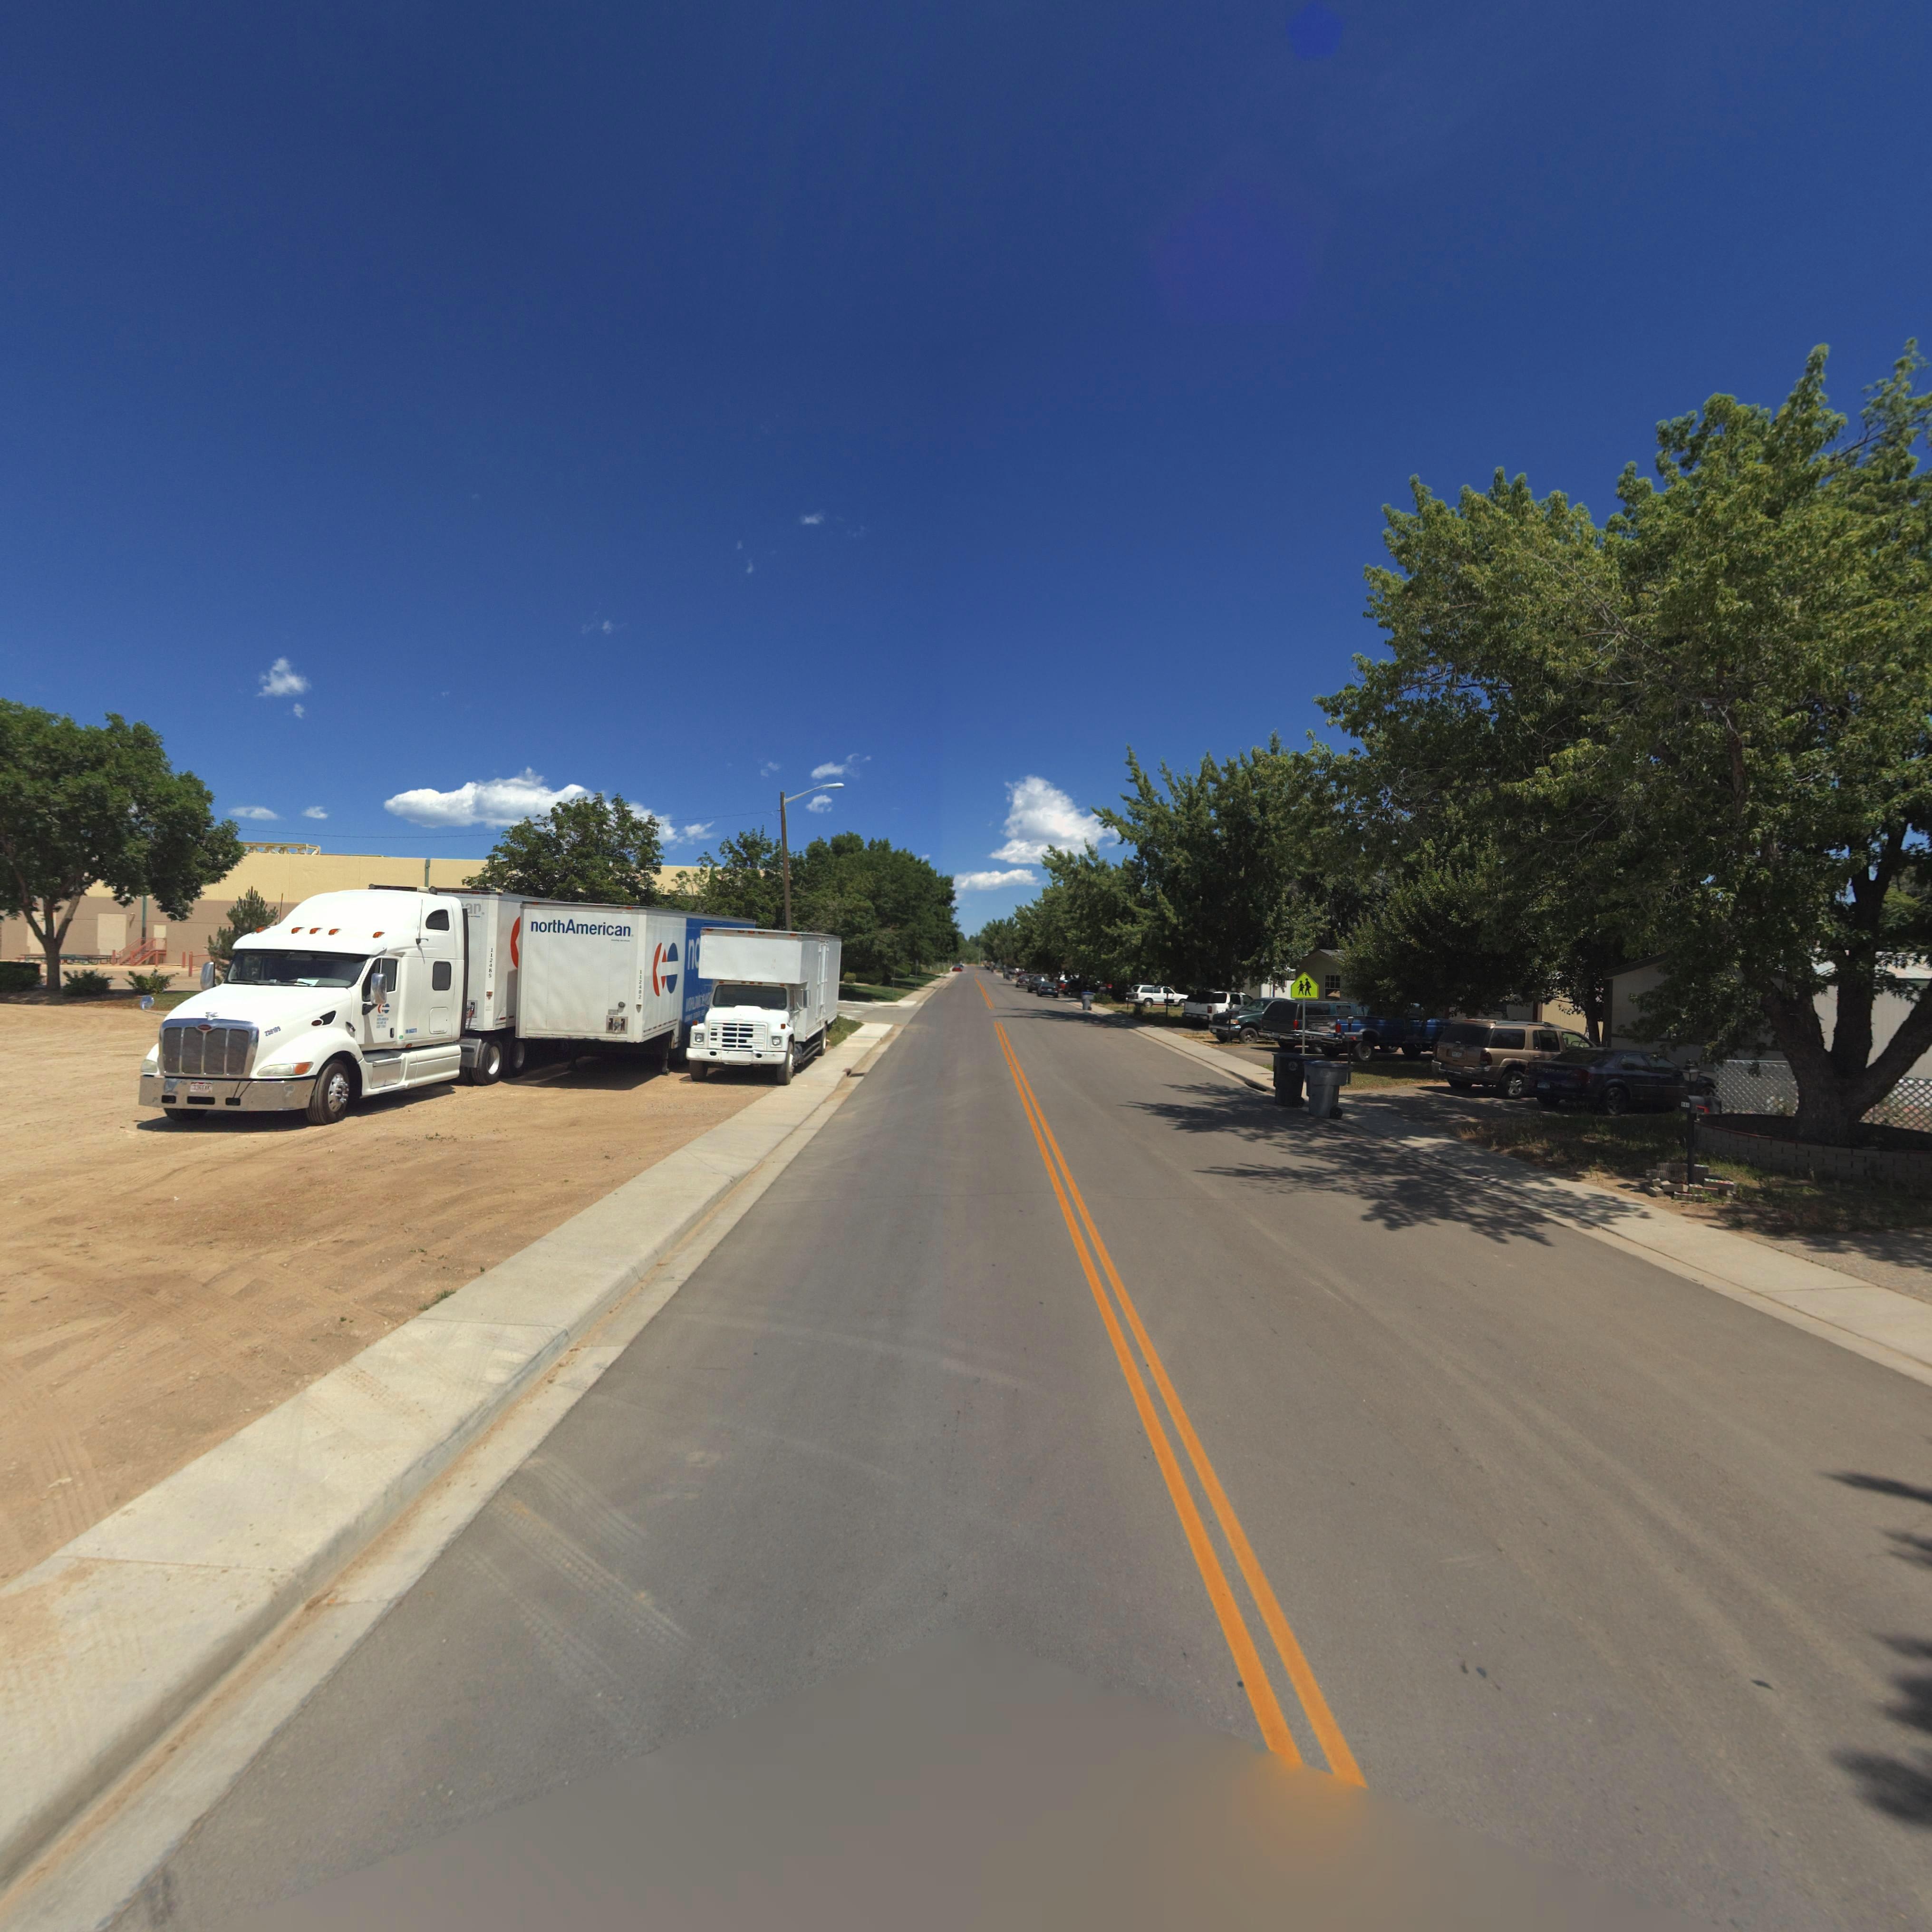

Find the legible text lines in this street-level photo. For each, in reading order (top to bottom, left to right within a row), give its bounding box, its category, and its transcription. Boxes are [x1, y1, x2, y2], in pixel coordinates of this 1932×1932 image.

[1681, 1102, 1689, 1107] StreetNumber: *44